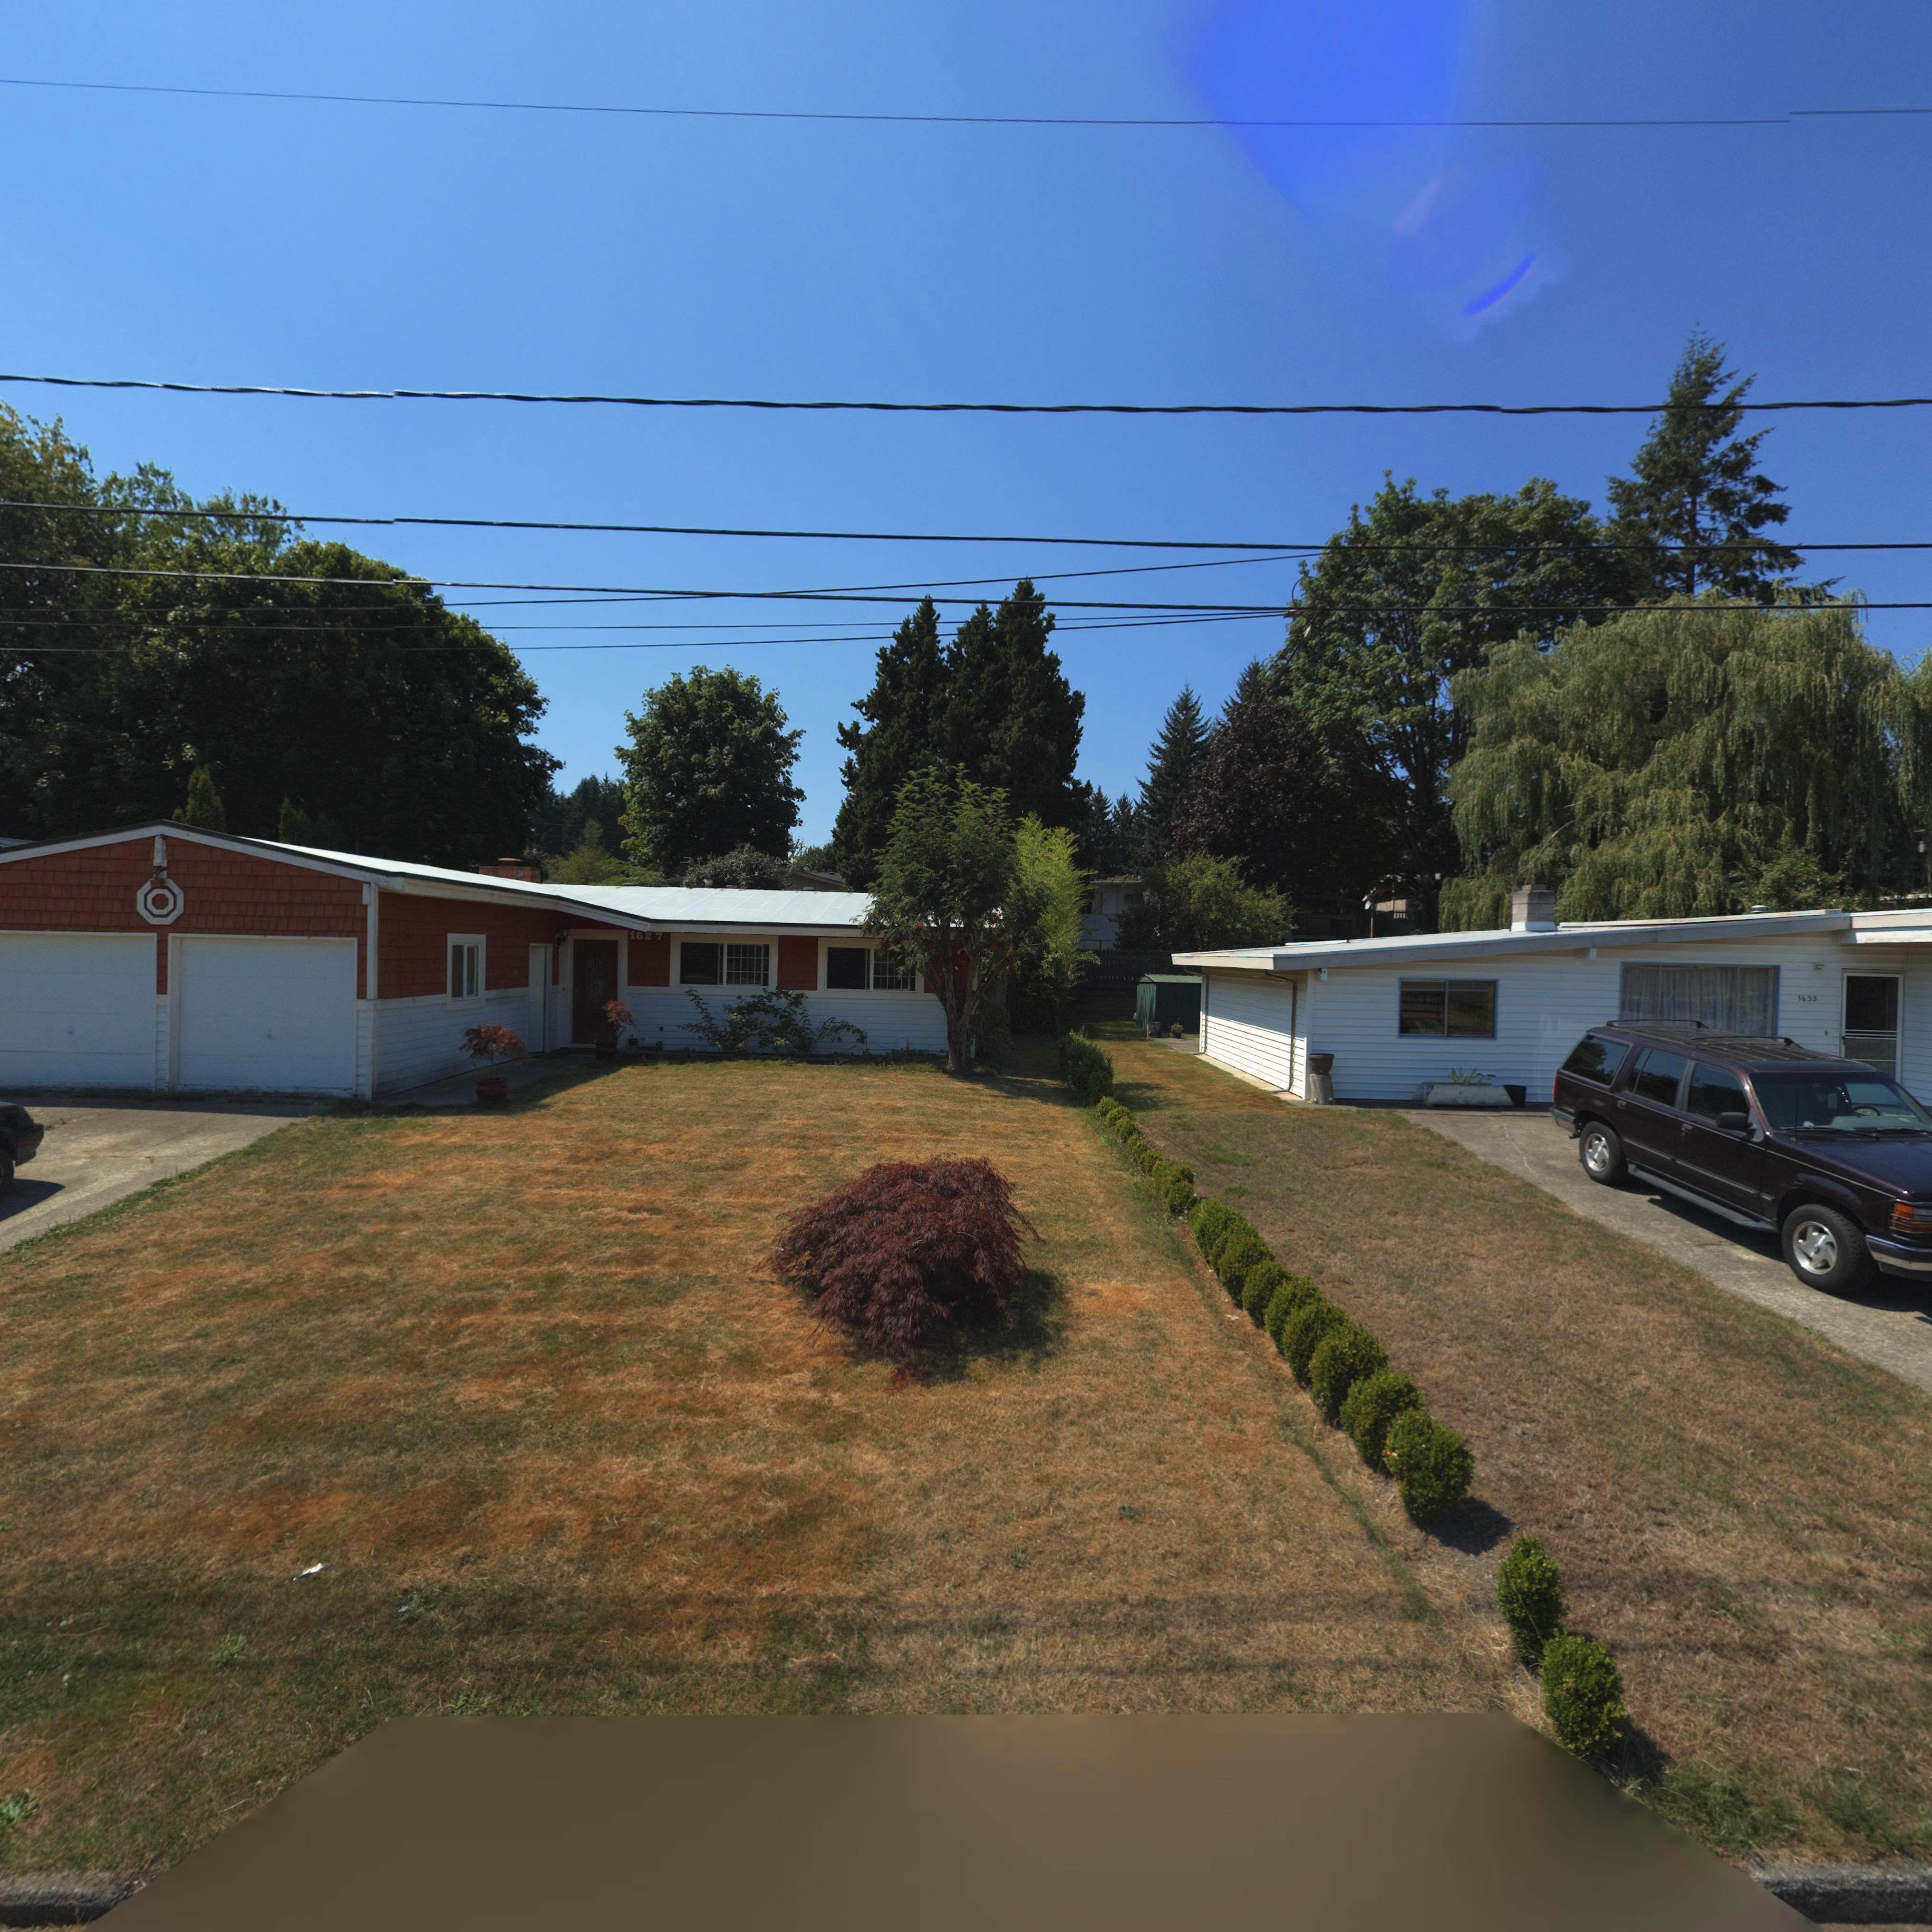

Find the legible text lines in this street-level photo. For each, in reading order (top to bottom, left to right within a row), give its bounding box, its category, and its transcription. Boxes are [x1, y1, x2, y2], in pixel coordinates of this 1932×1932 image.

[629, 930, 663, 941] StreetNumber: 1627
[1797, 993, 1817, 1003] StreetNumber: 1633